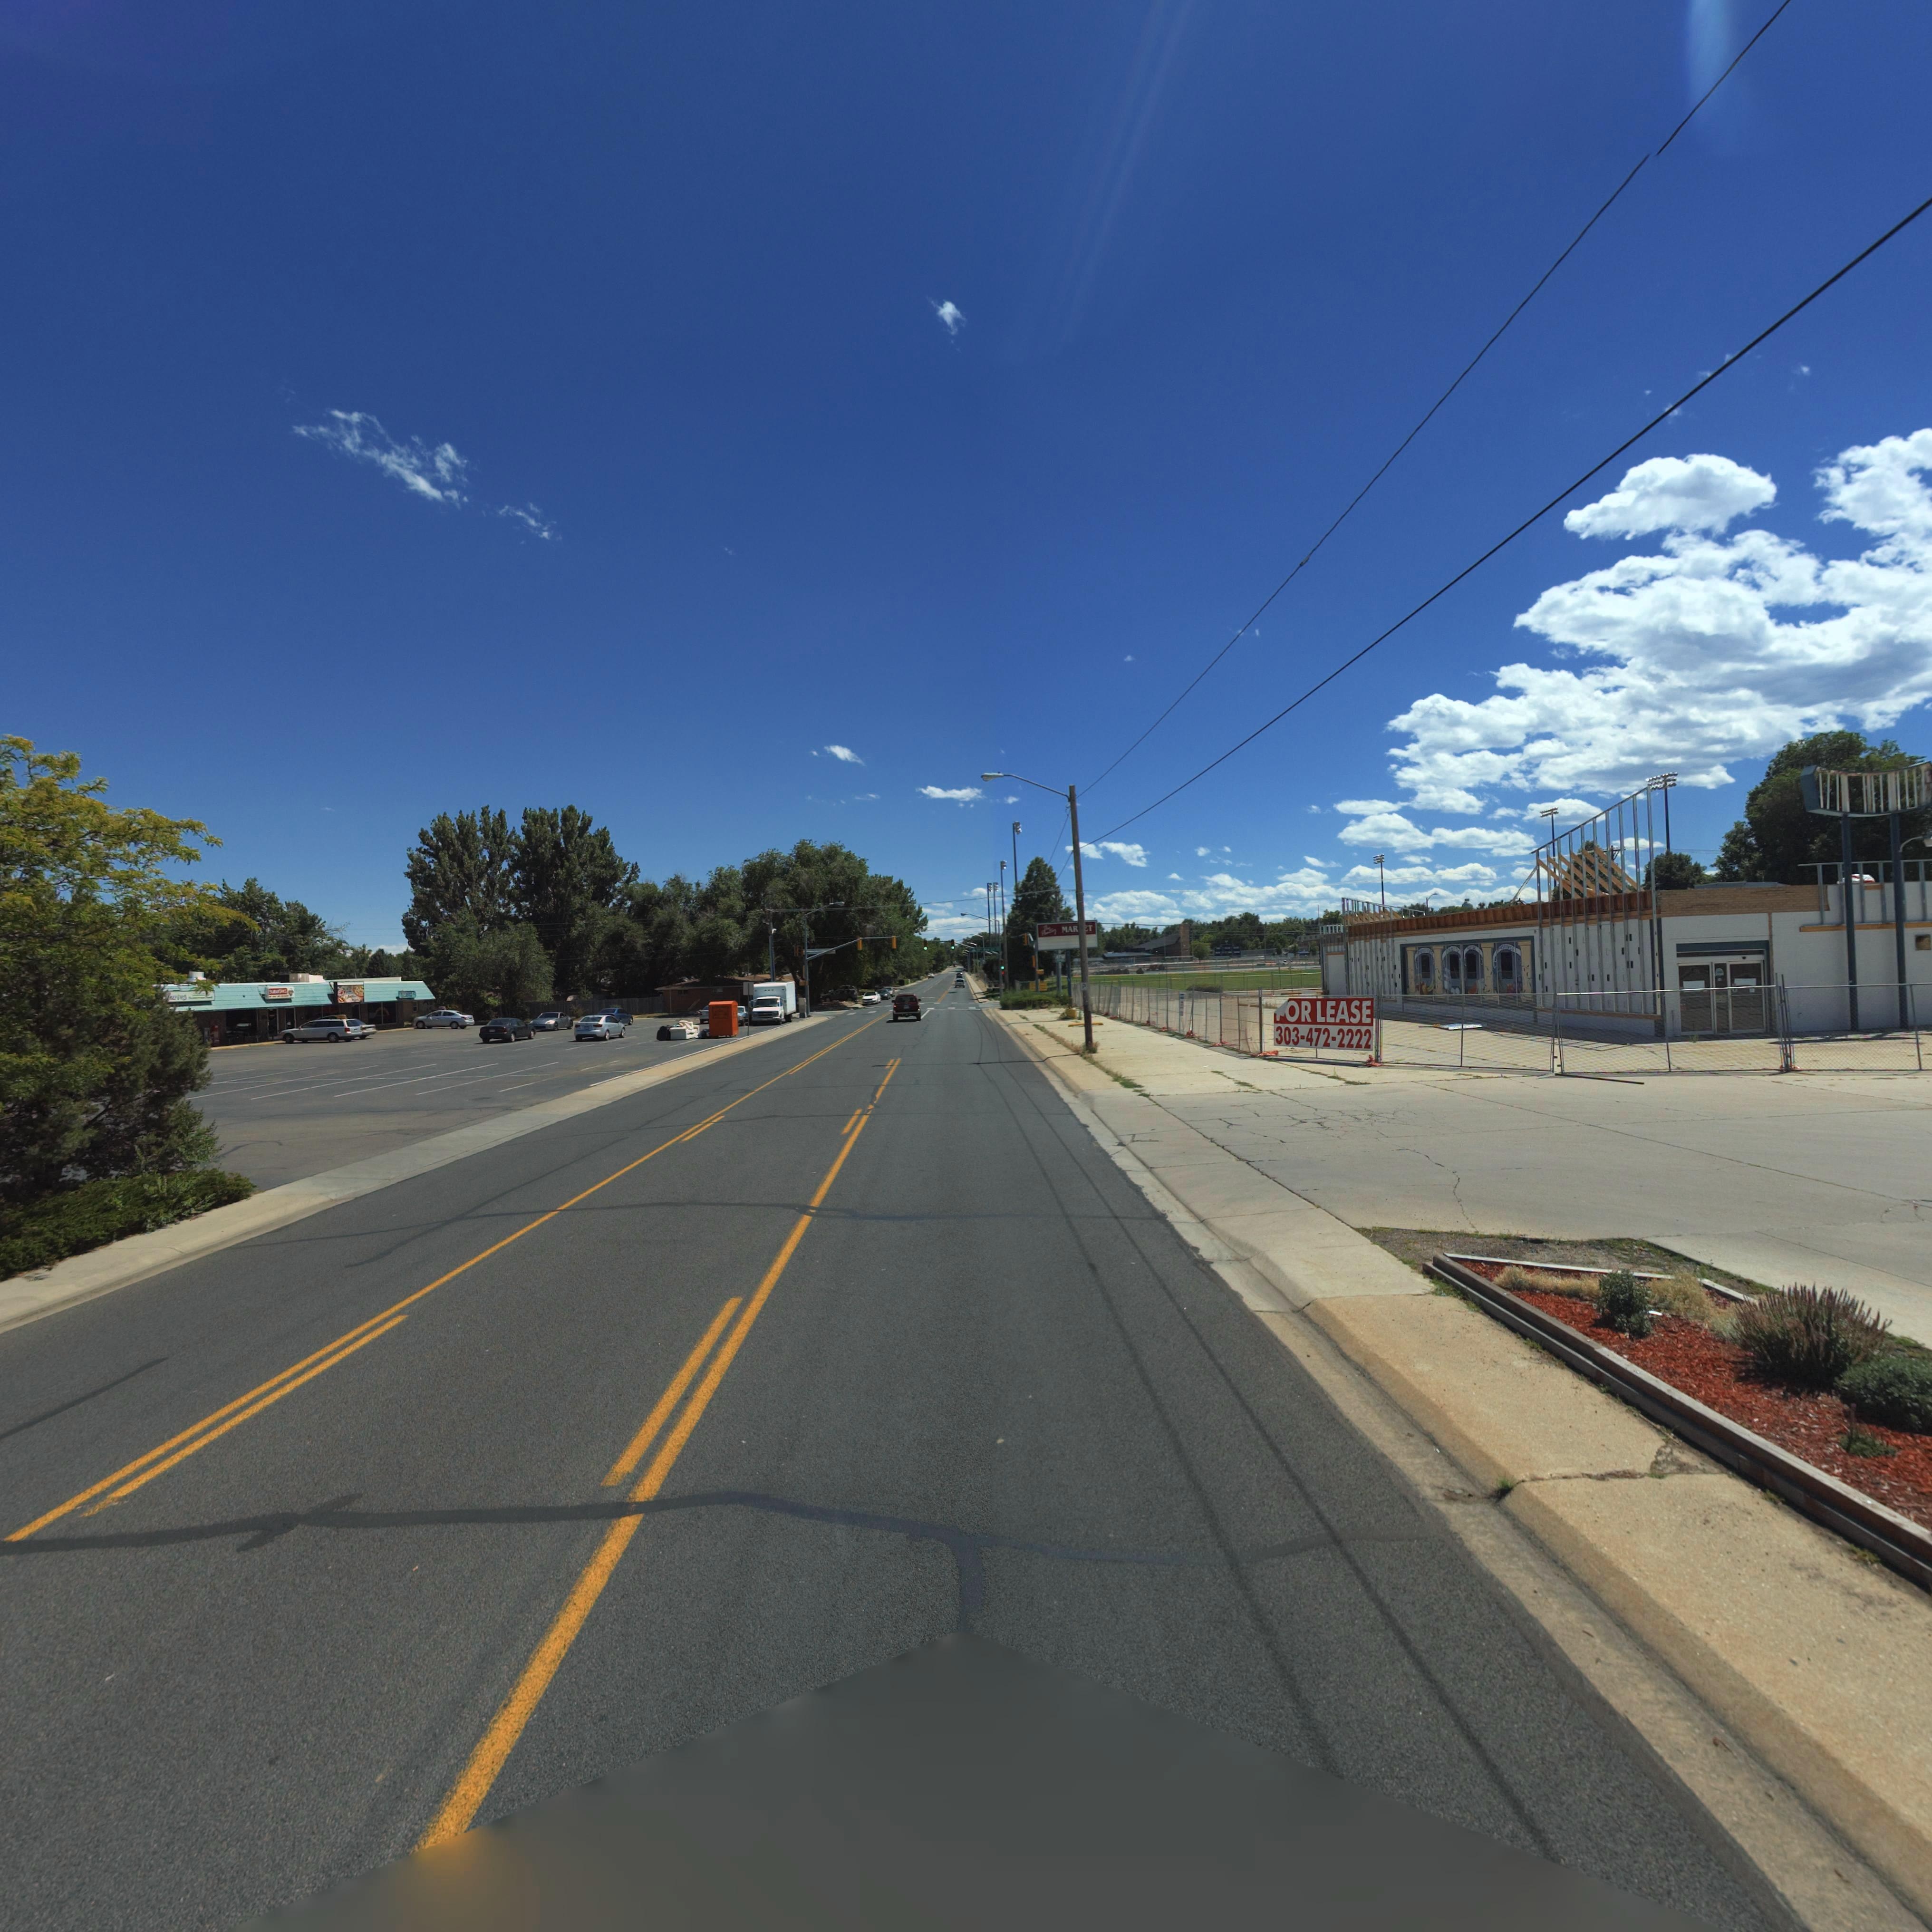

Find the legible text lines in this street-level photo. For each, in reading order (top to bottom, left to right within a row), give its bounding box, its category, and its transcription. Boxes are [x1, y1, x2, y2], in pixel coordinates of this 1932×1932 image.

[168, 993, 187, 1000] BusinessName: *urves